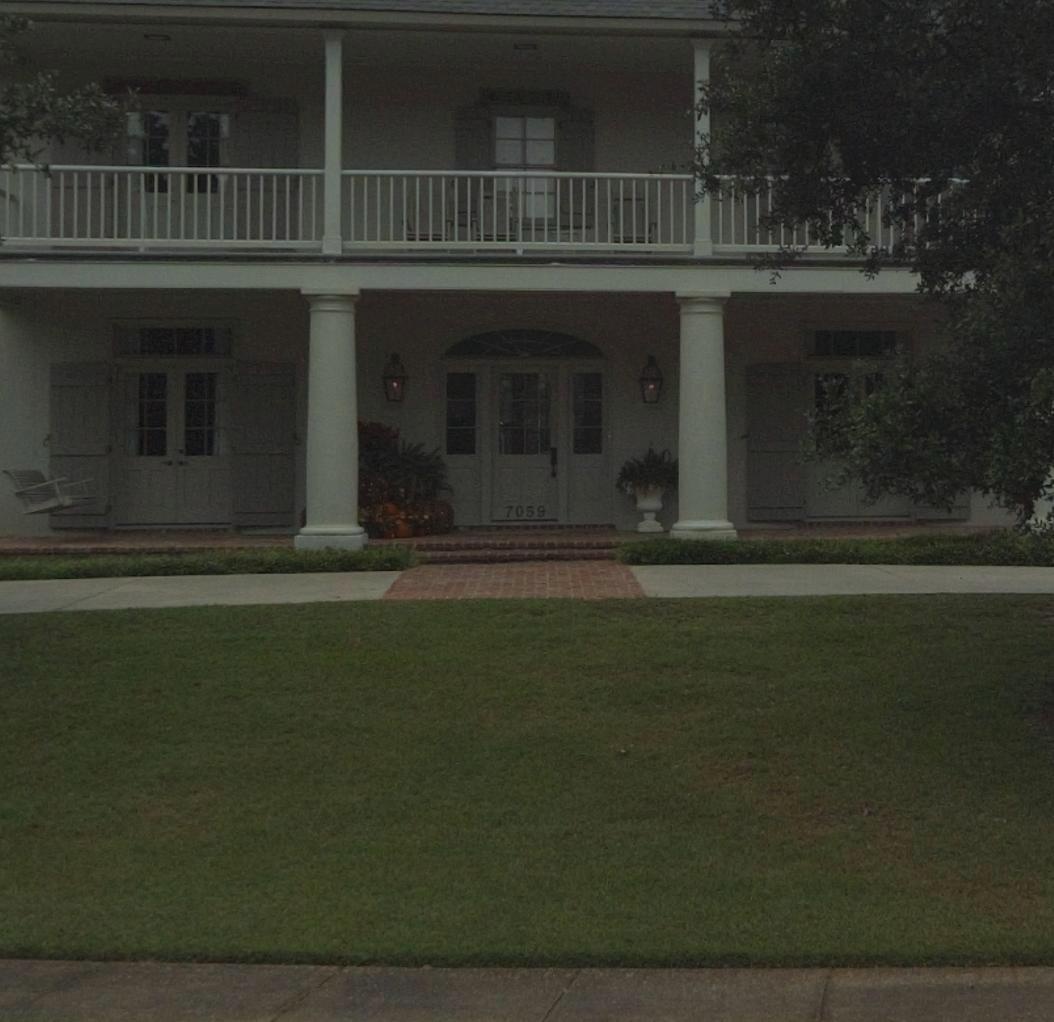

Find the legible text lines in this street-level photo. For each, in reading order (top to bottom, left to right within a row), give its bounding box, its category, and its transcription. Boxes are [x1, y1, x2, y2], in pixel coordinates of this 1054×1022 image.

[505, 505, 546, 518] StreetNumber: 7059